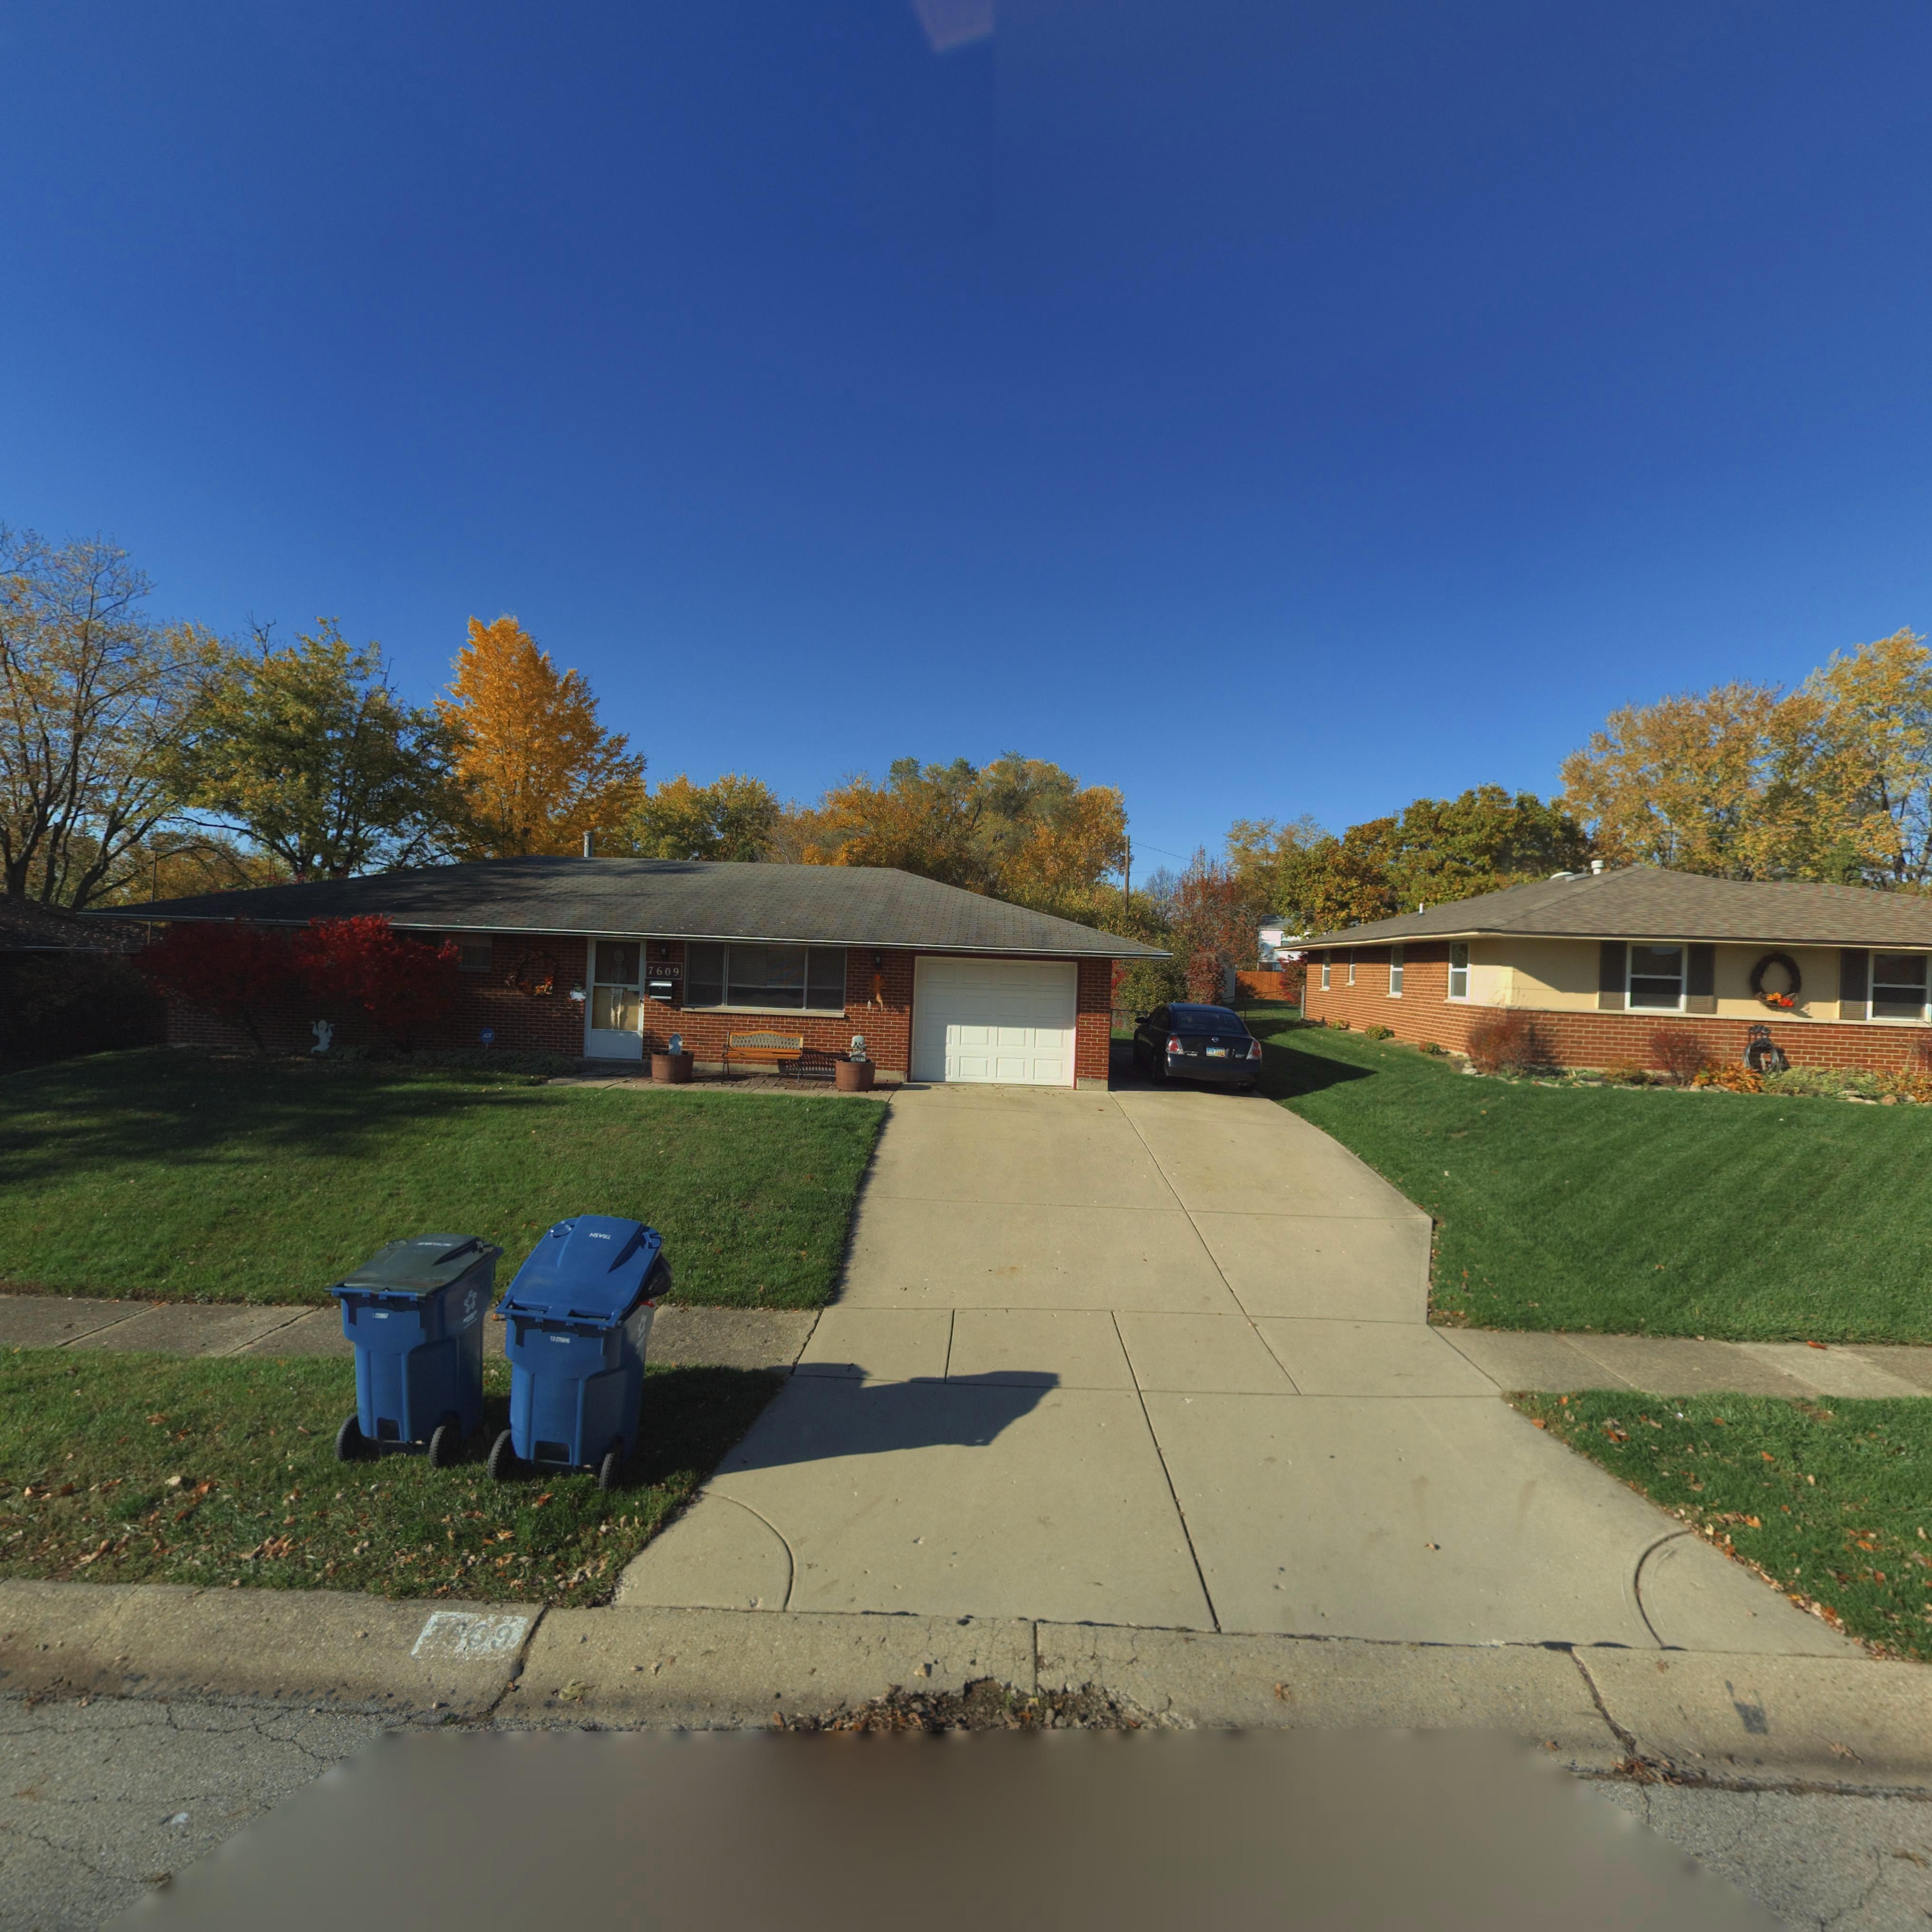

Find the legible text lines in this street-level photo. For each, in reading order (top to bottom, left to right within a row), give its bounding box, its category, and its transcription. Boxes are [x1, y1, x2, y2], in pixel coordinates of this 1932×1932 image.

[647, 966, 680, 977] StreetNumber: 7609
[423, 1619, 514, 1652] StreetNumber: **09